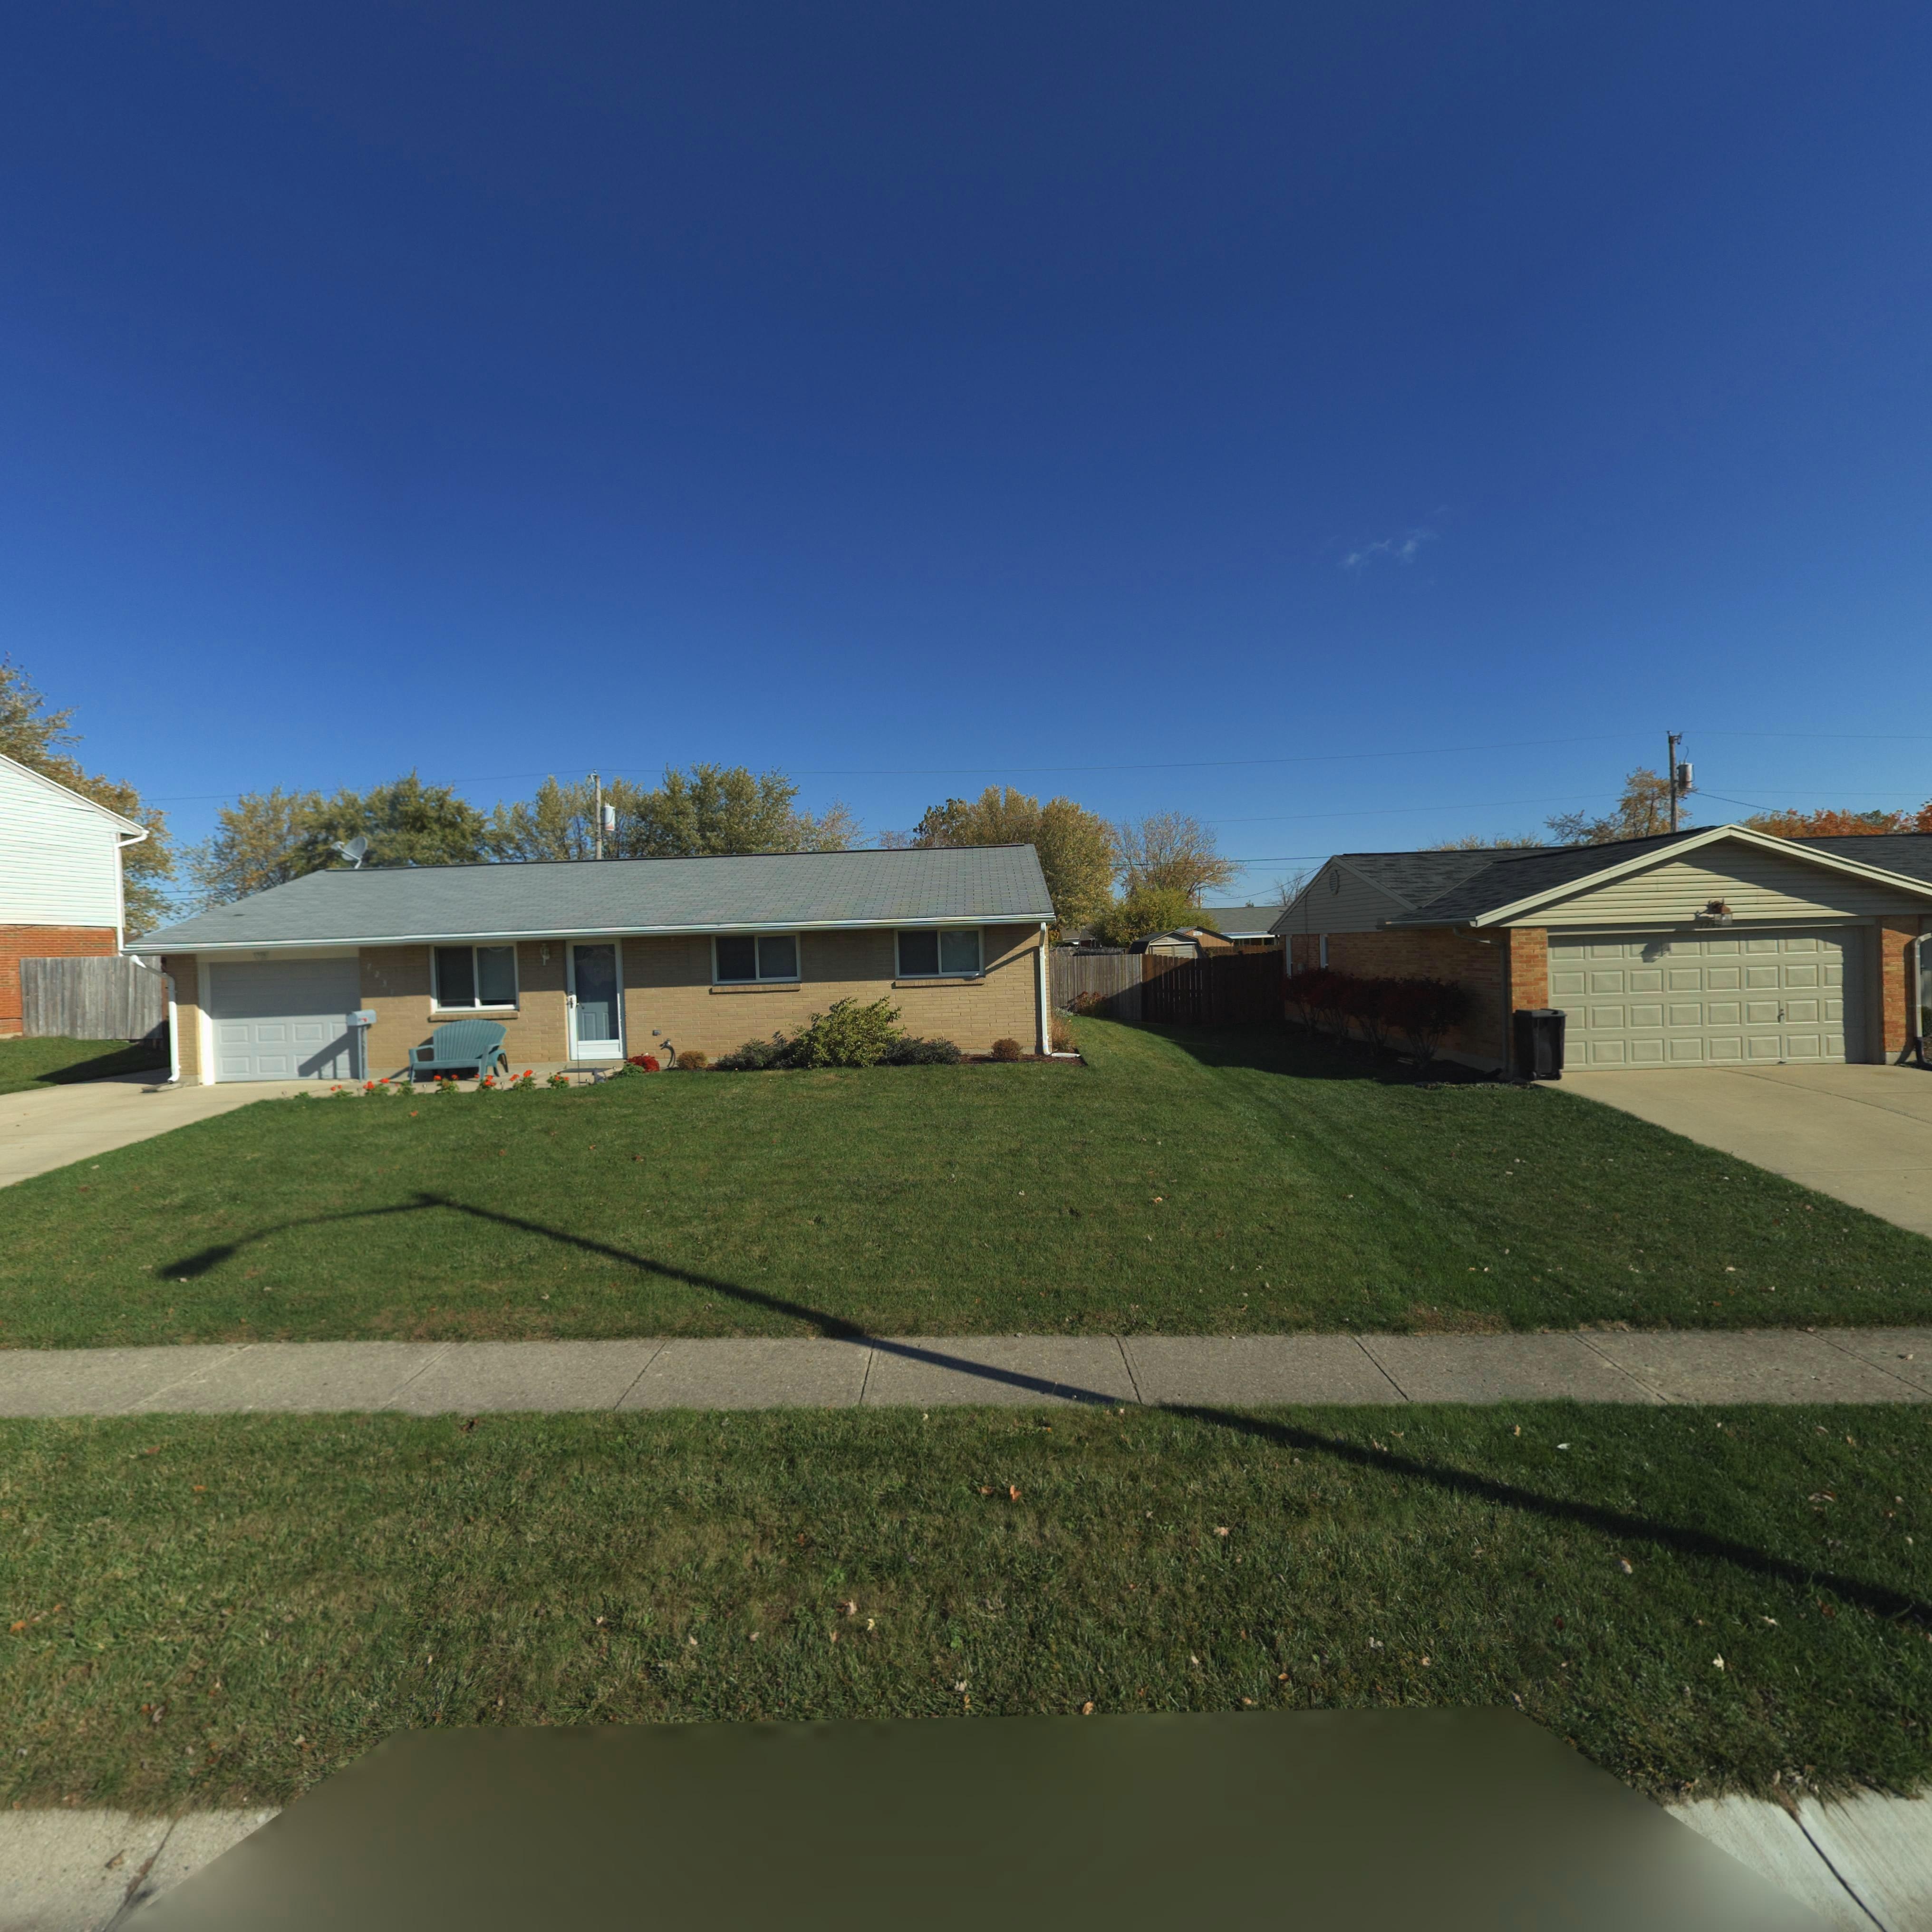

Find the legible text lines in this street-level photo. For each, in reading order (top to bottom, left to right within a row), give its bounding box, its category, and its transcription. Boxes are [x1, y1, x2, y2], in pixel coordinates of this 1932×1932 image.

[1699, 921, 1711, 930] StreetNumber: 72